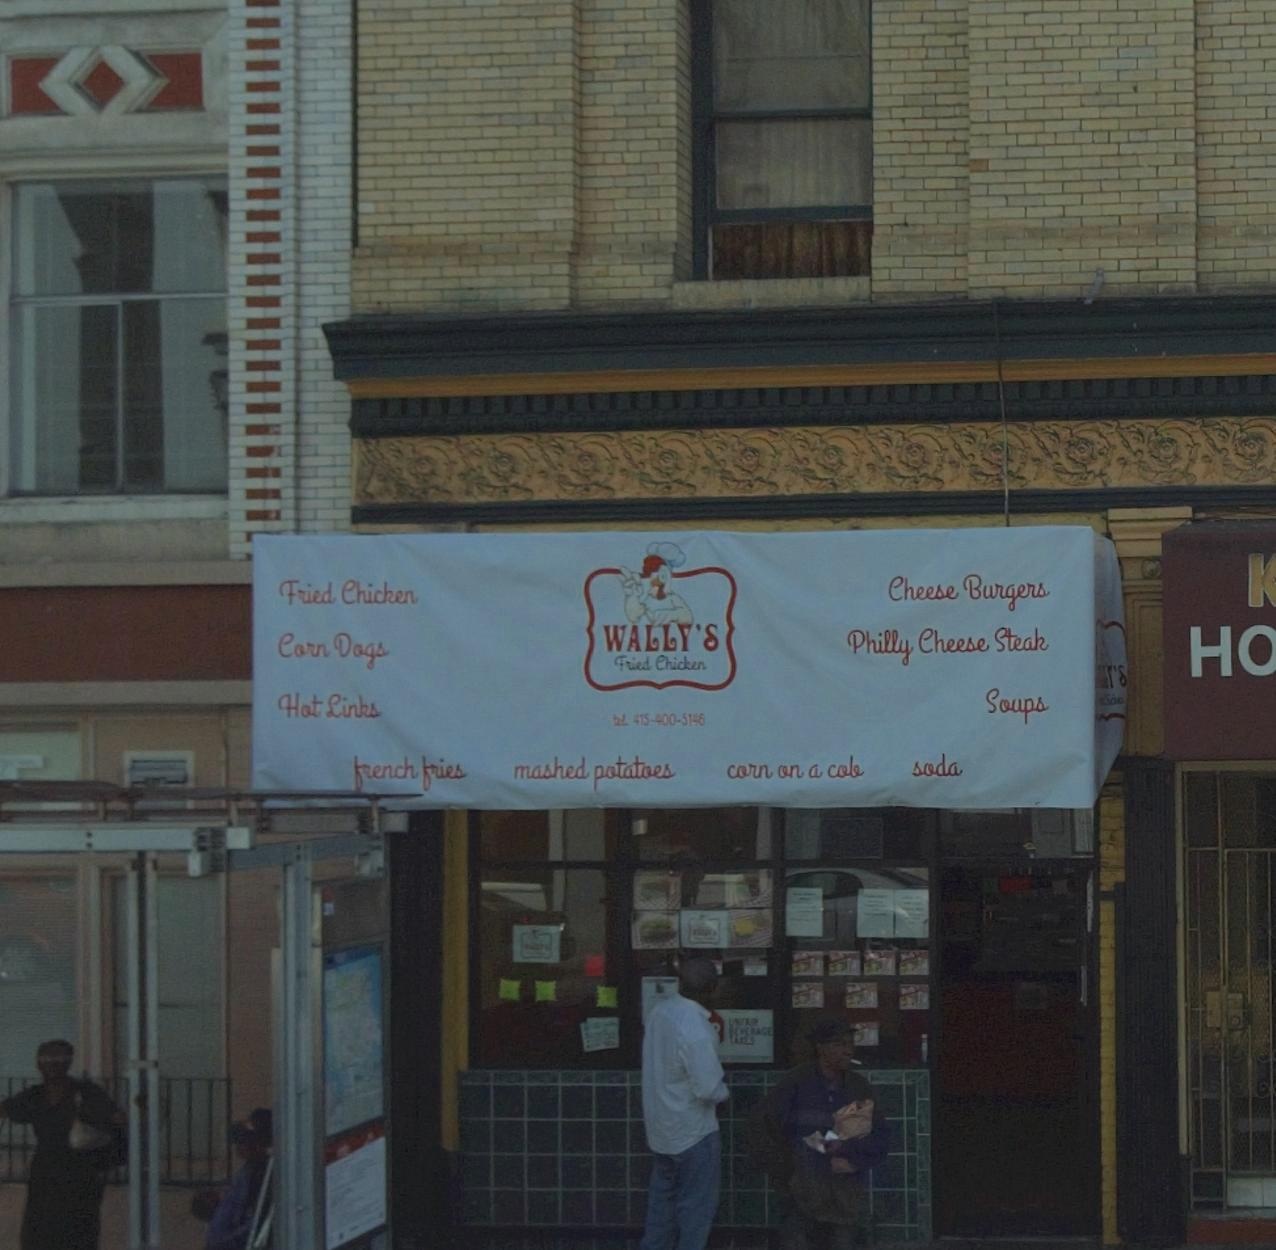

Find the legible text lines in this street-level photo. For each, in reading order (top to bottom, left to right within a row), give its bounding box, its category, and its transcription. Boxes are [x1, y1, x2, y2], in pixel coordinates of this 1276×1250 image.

[284, 577, 423, 610] None: Fried Chicken
[883, 569, 1055, 615] None: Cheese Burgers
[275, 627, 394, 673] None: Corn Dogs
[600, 619, 722, 655] BusinessName: WALLY'S
[610, 654, 712, 675] BusinessName: Fried Chicken
[847, 622, 1054, 670] None: Philly Cheese Steak
[1187, 623, 1236, 681] BusinessName: H
[283, 689, 387, 721] None: Hot Links
[631, 708, 708, 731] None: 415*400*-5146
[981, 684, 1055, 730] None: Soups
[349, 752, 472, 796] None: French Fries
[511, 752, 681, 796] None: mashed potatoes
[723, 750, 870, 783] None: corn on a cob
[908, 748, 968, 781] None: soda